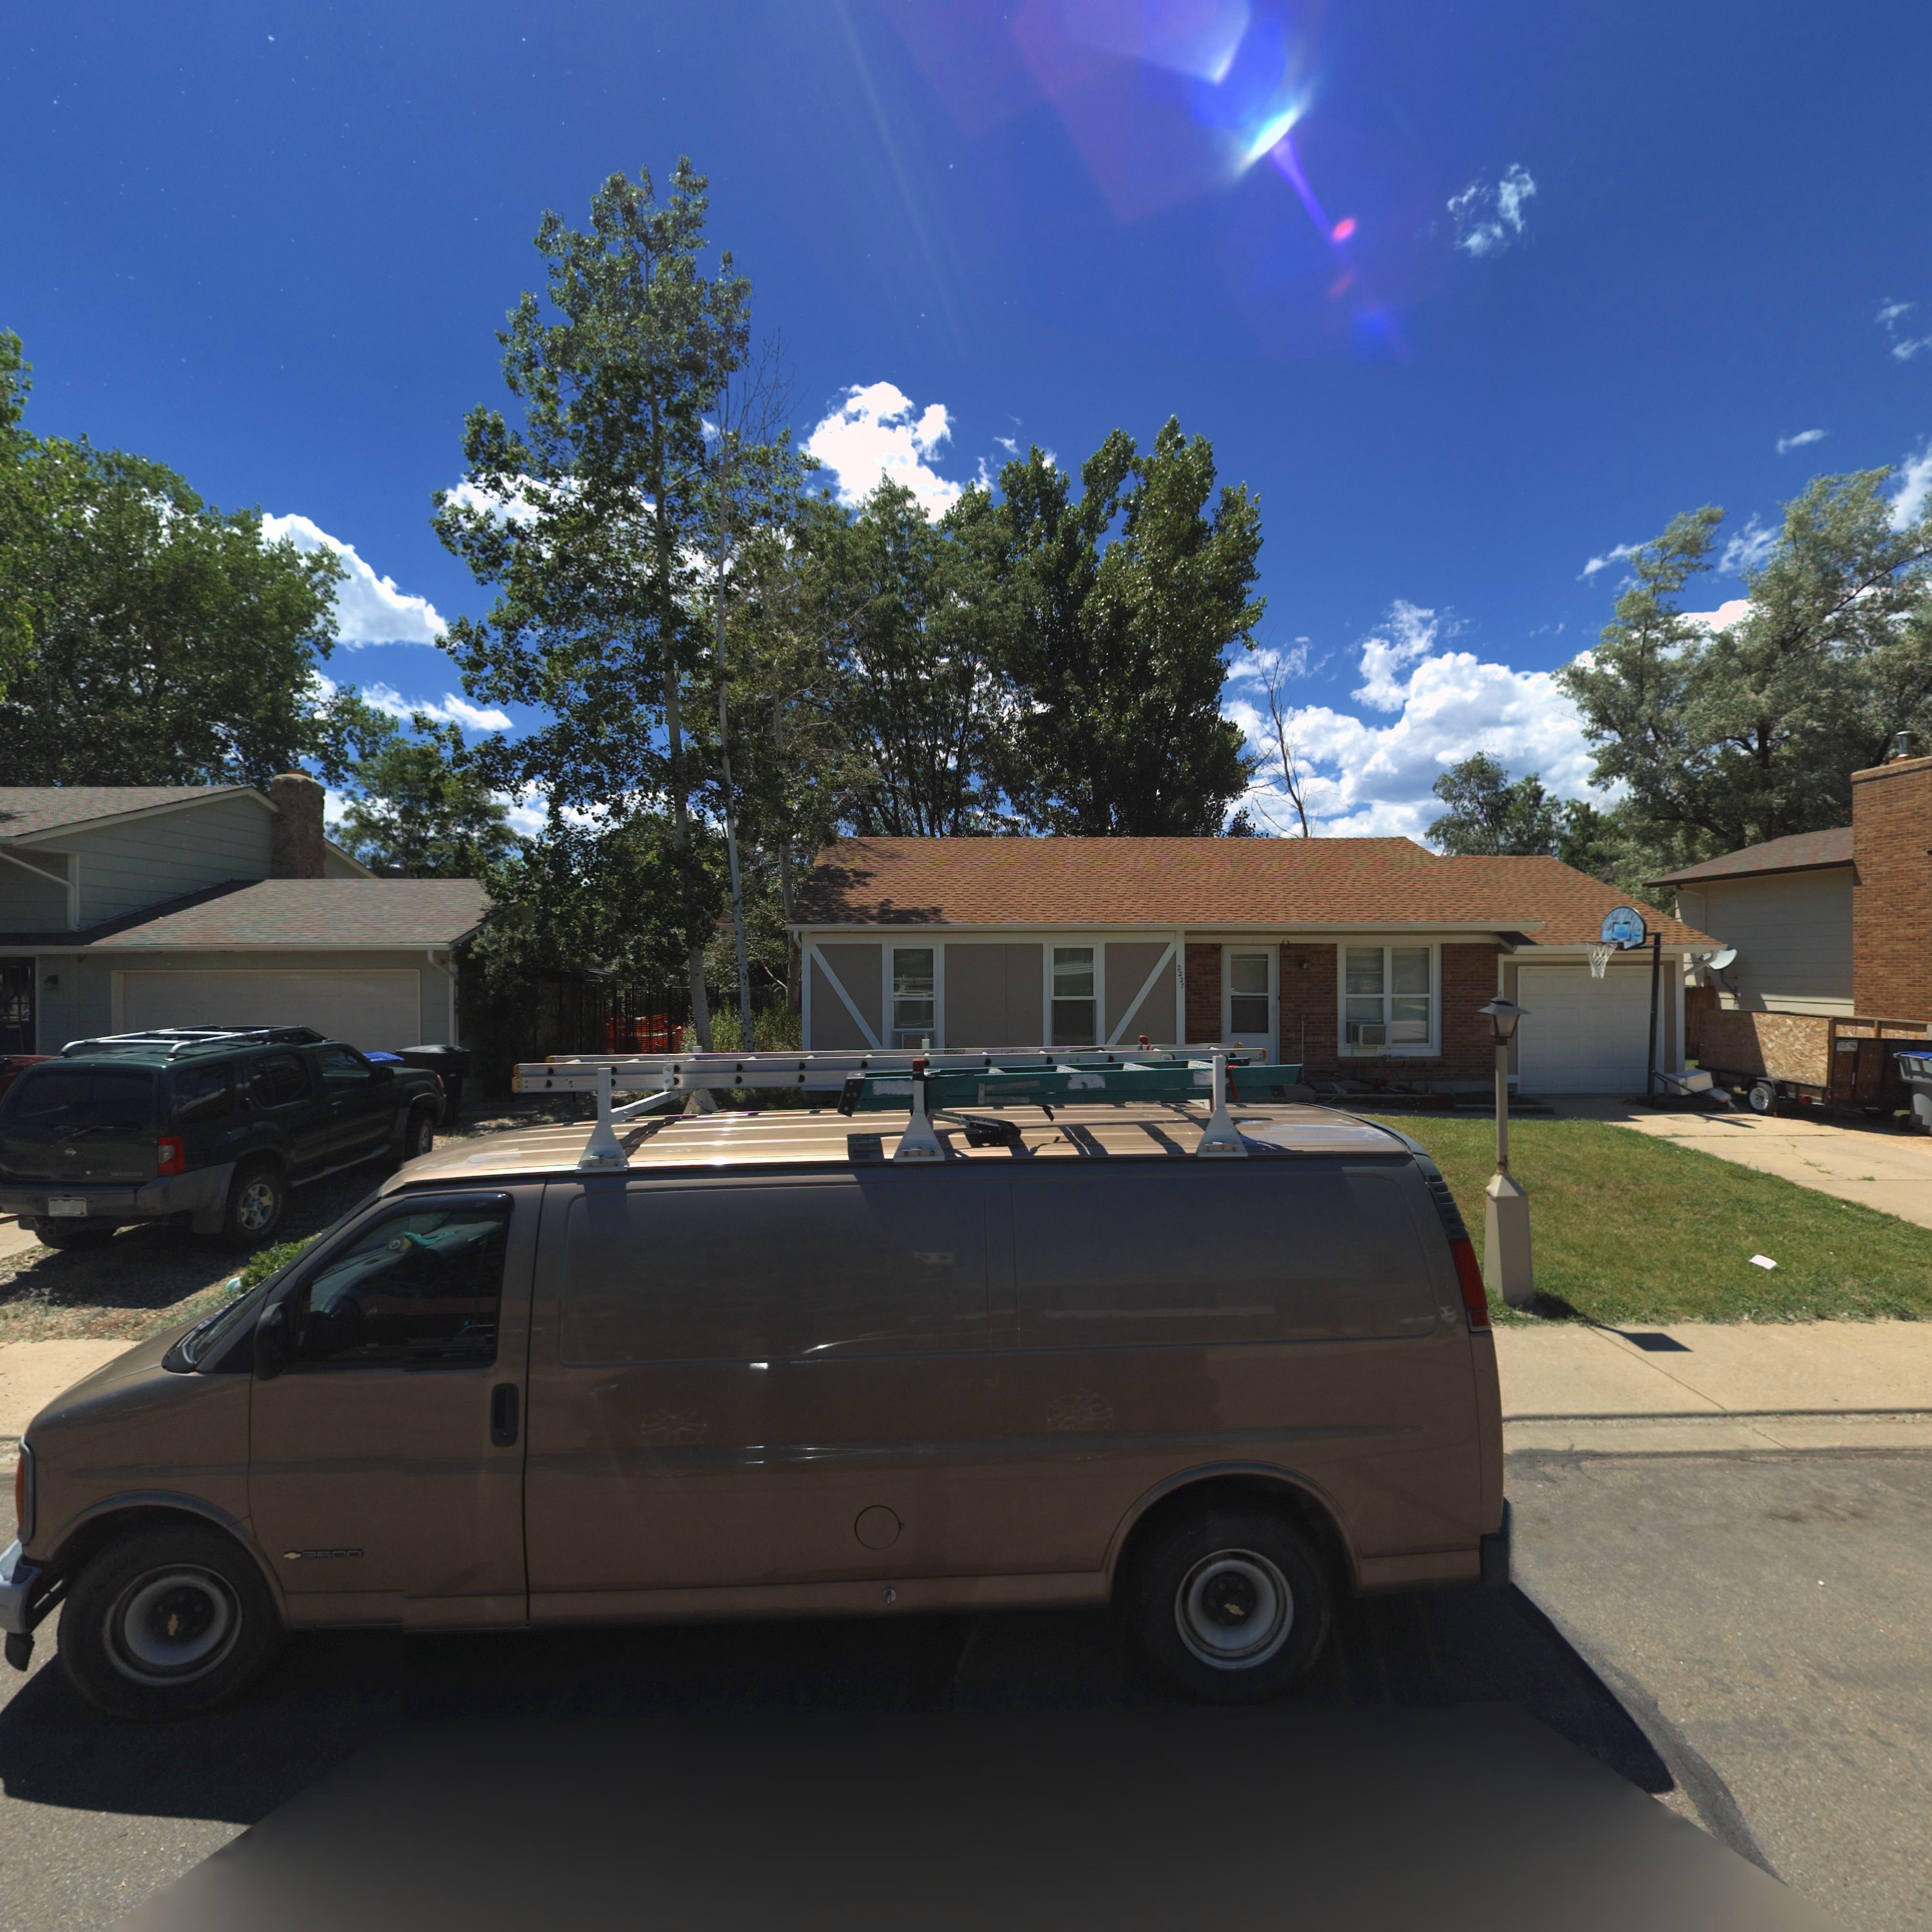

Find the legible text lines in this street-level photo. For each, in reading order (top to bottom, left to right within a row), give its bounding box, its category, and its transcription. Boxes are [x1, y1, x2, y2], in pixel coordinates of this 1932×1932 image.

[1176, 963, 1185, 989] StreetNumber: 2227